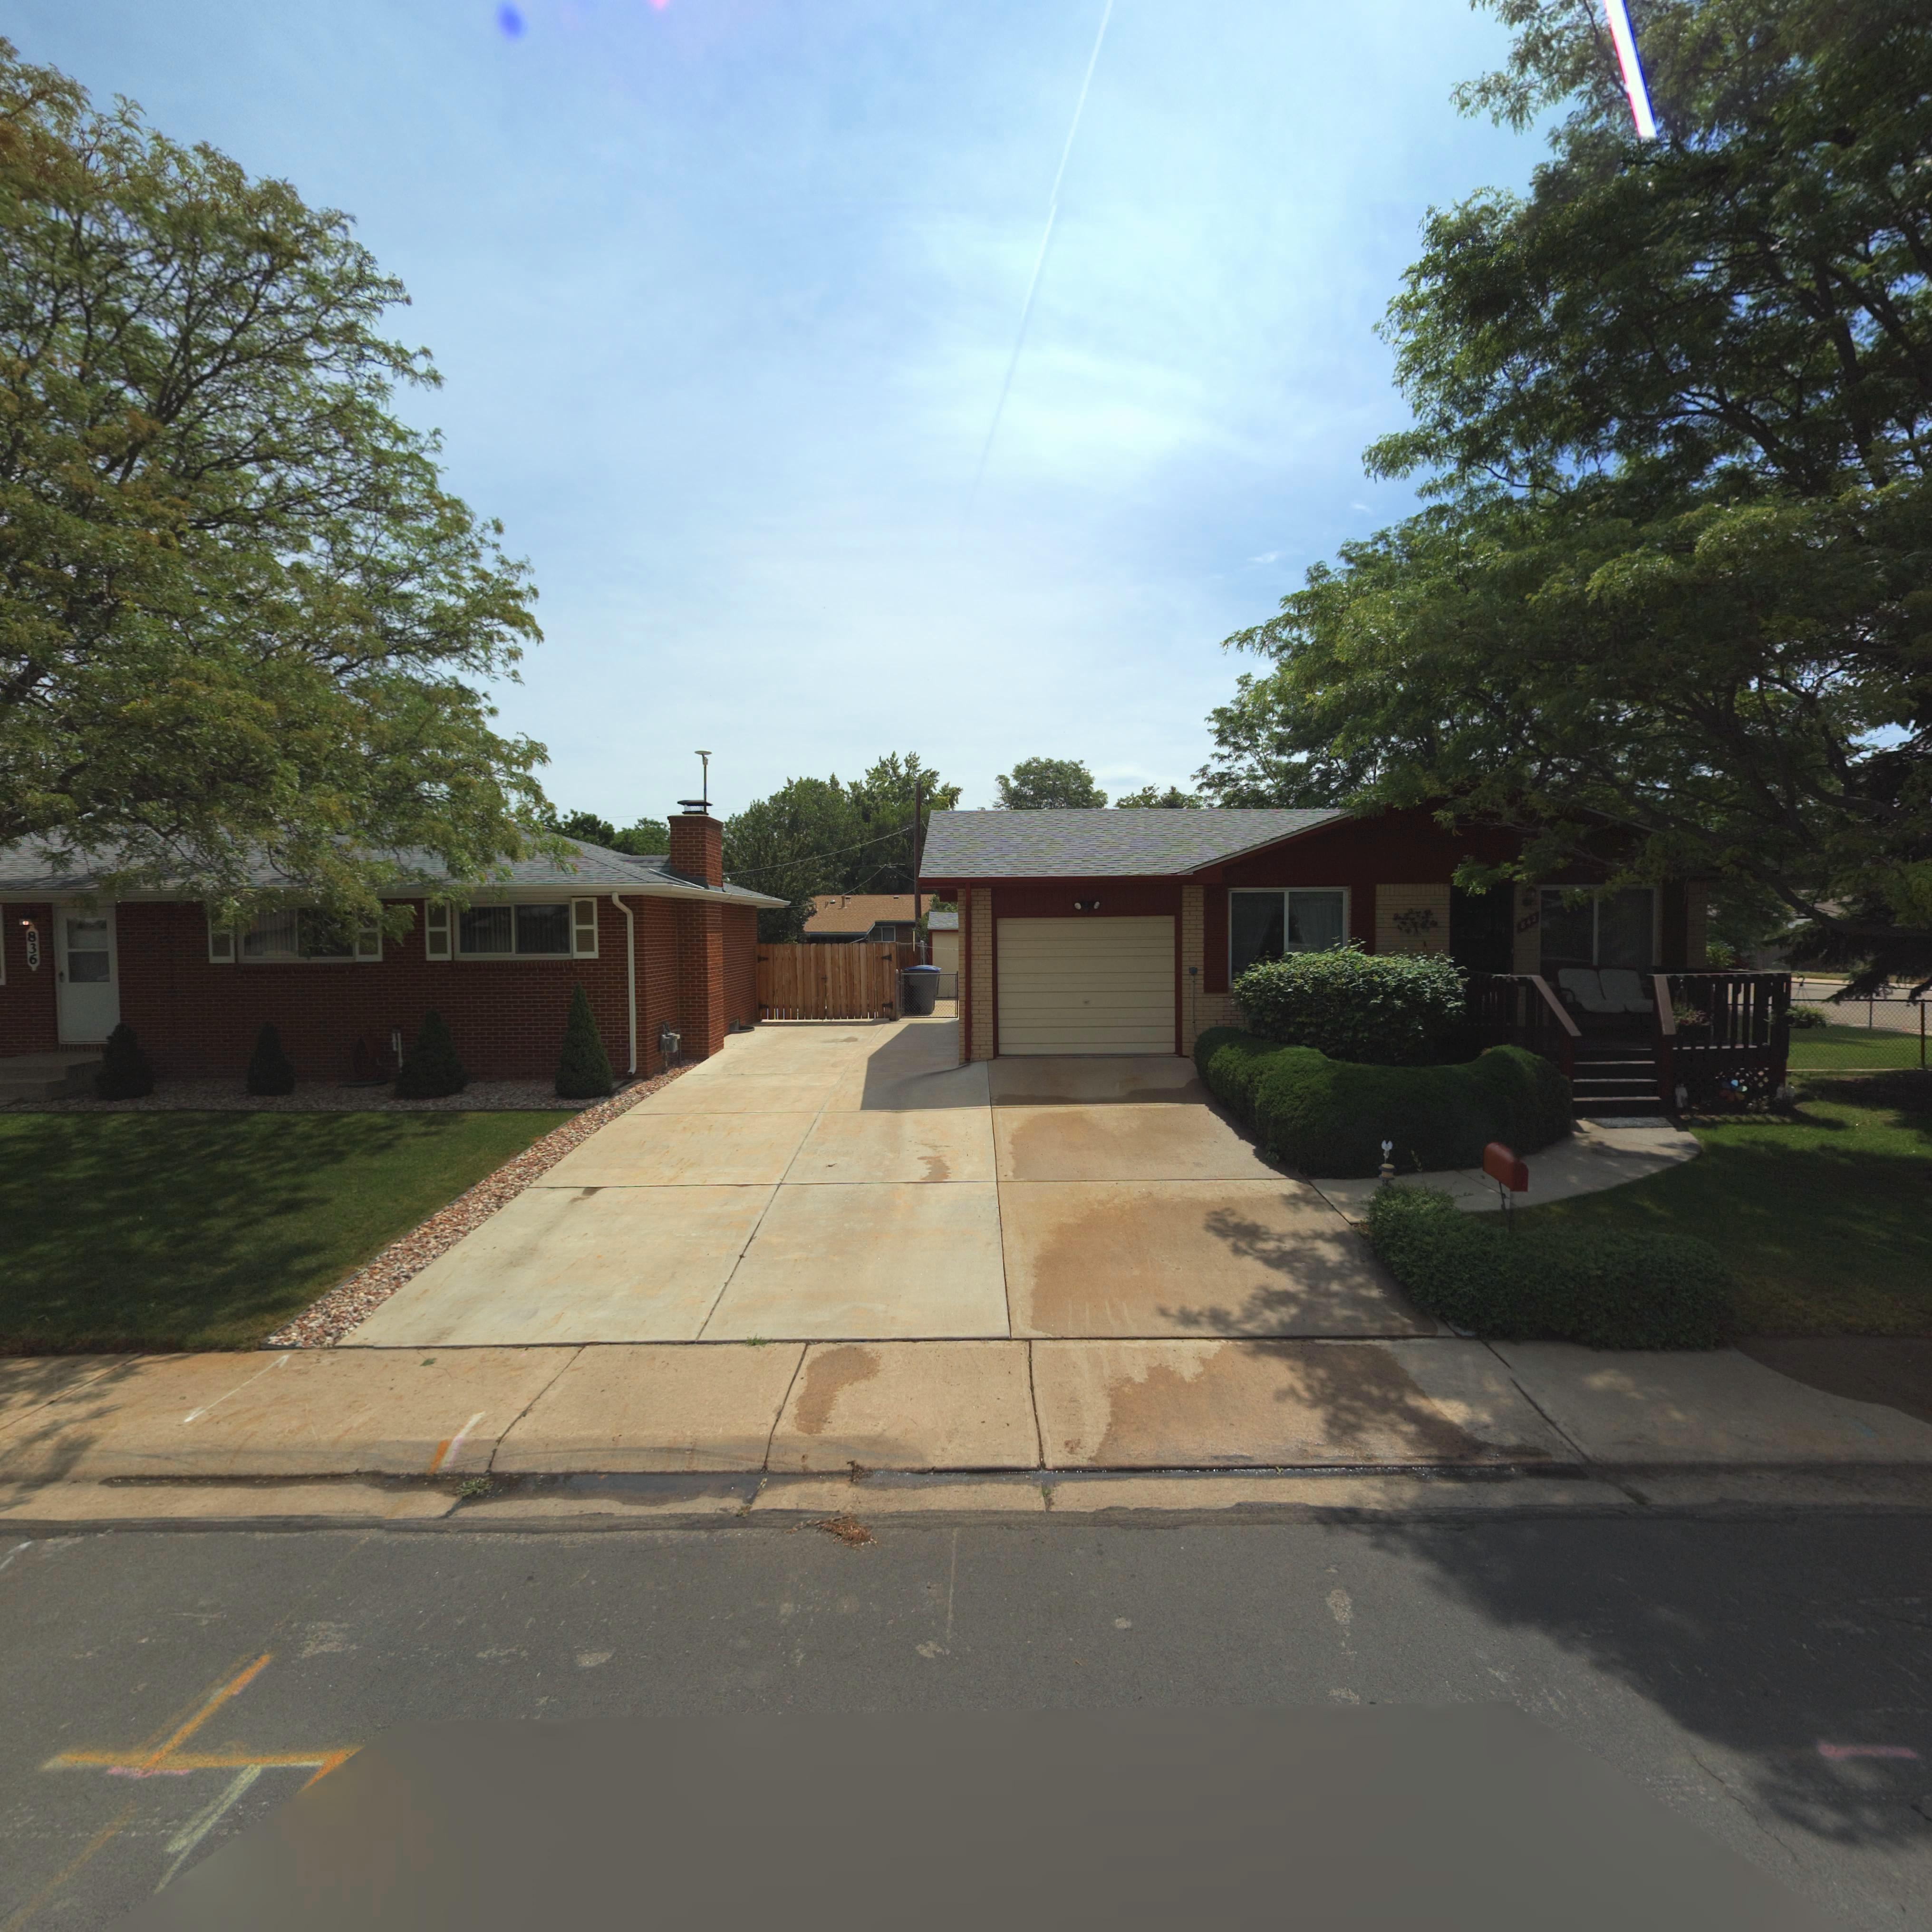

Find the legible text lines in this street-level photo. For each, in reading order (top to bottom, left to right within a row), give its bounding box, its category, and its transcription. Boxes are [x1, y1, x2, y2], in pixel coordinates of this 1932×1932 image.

[1520, 915, 1536, 929] StreetNumber: 842
[26, 930, 38, 965] StreetNumber: 836